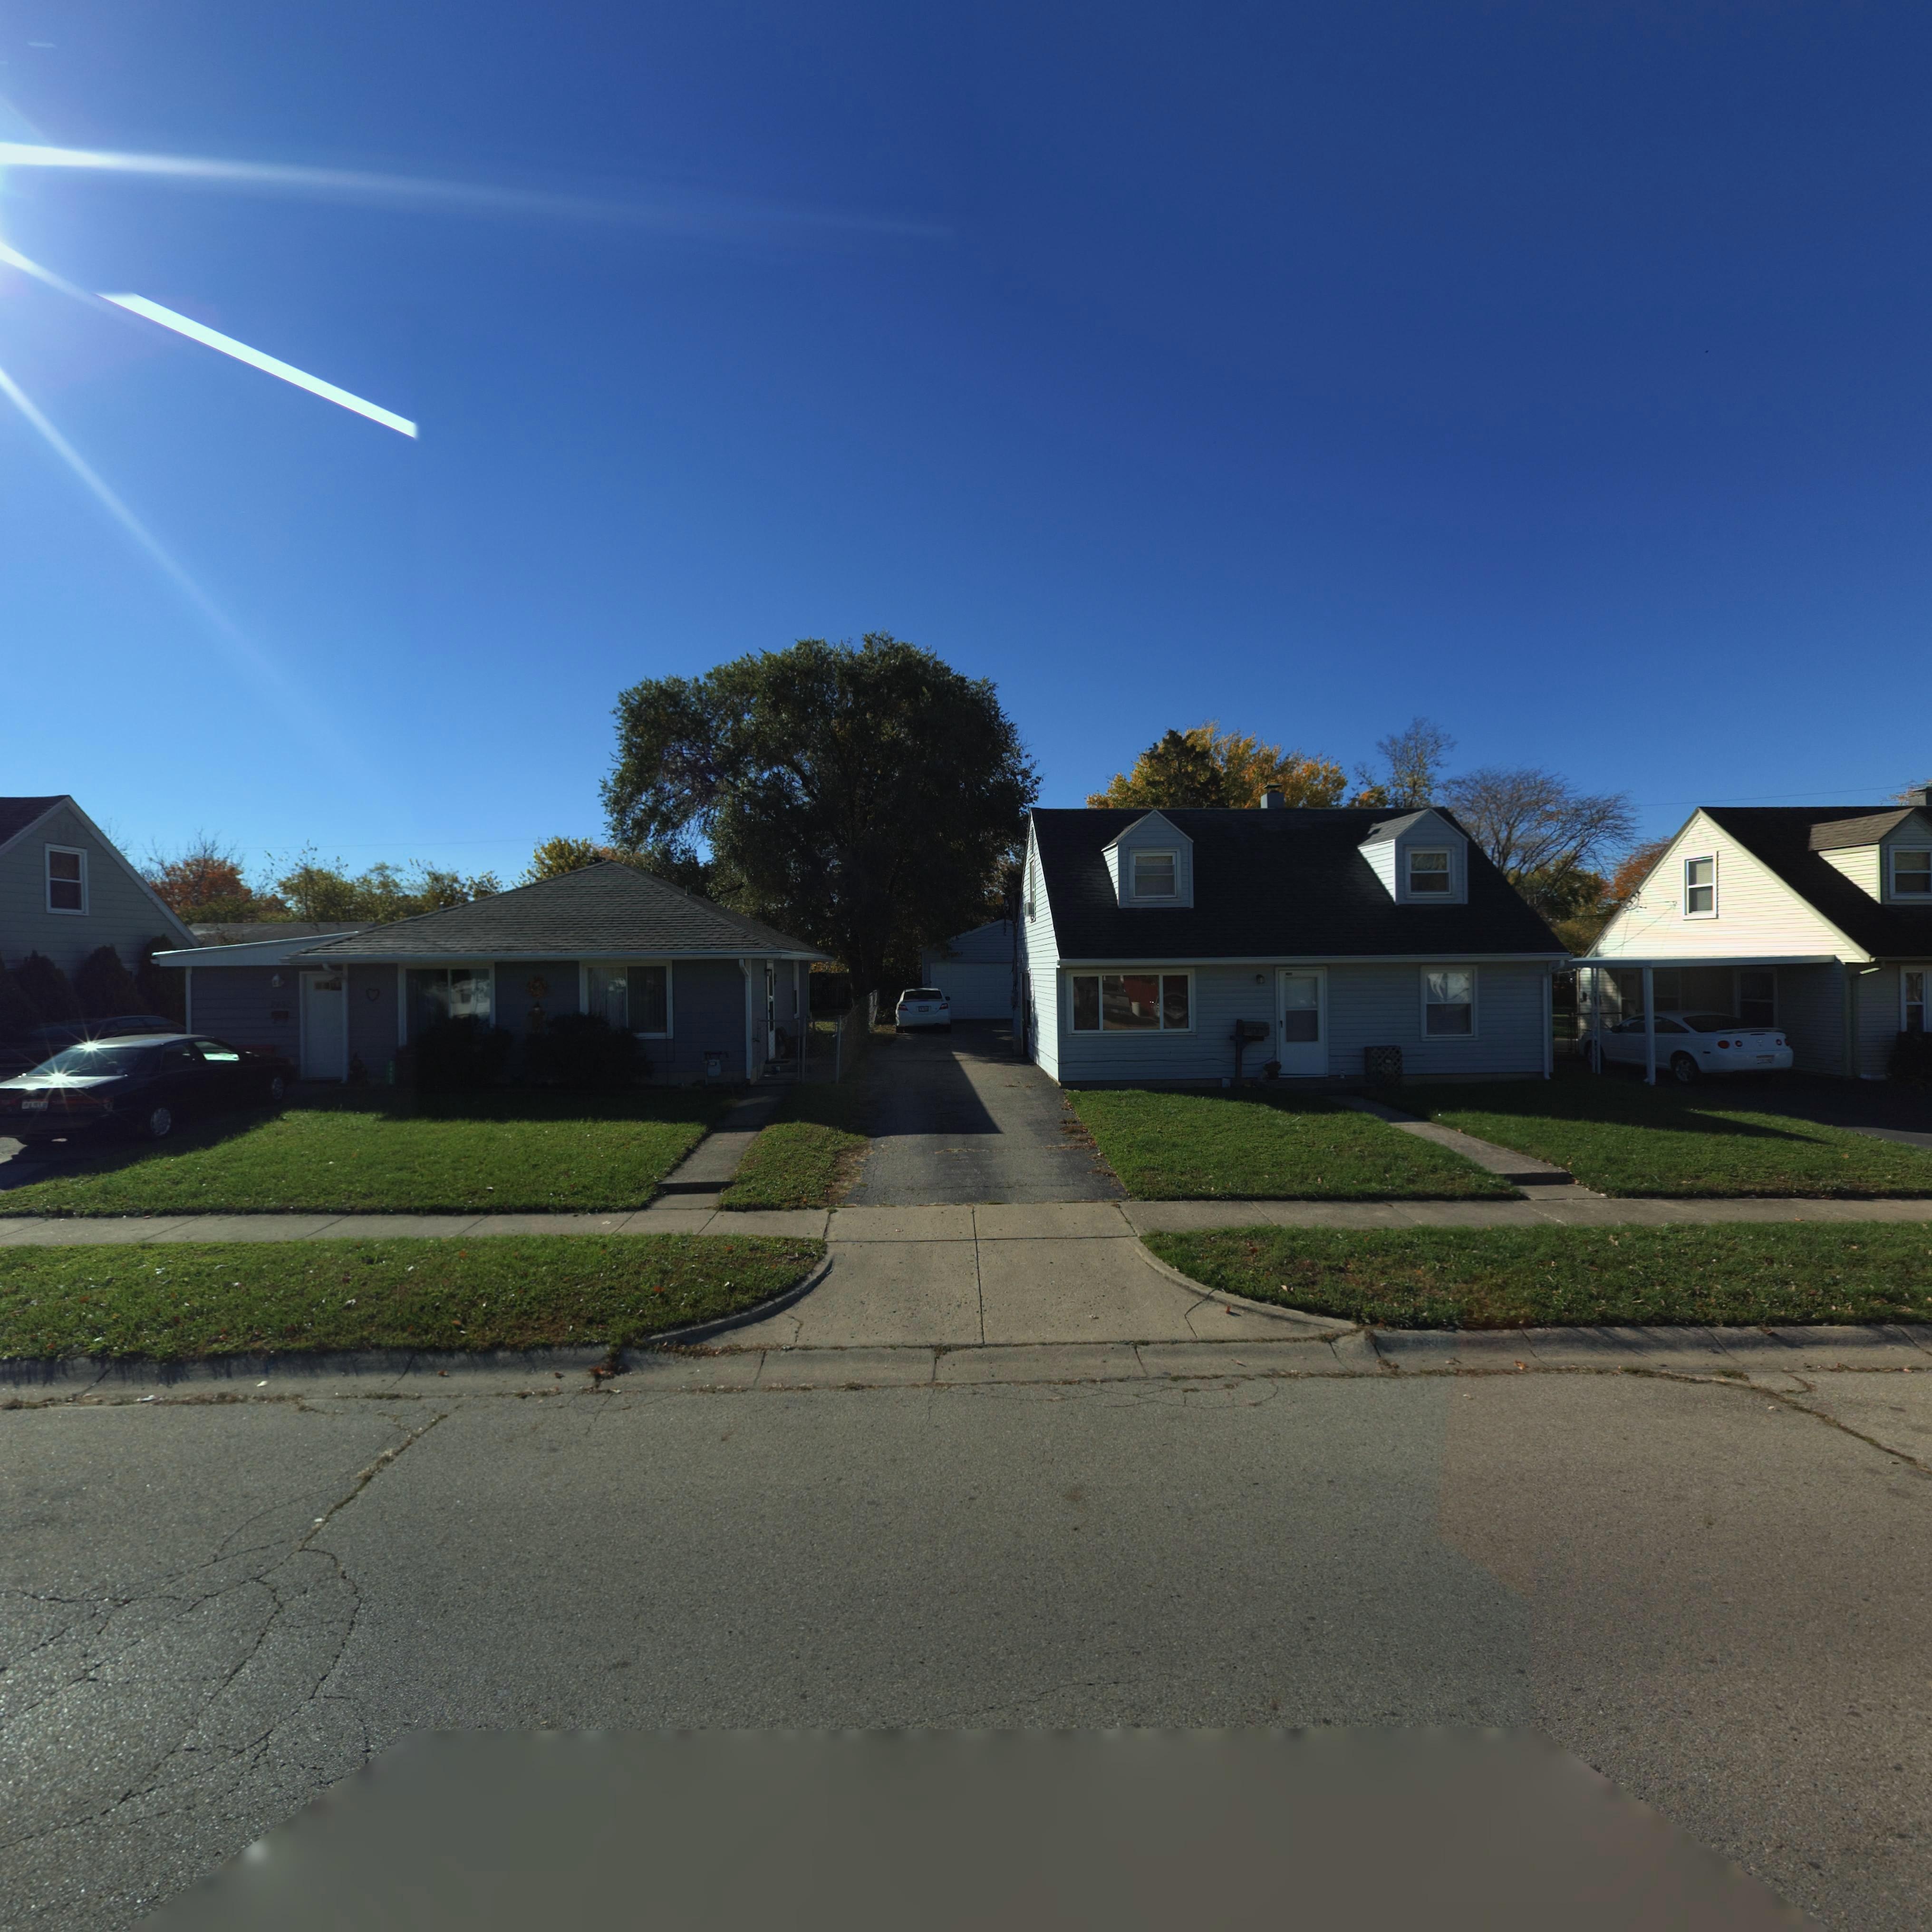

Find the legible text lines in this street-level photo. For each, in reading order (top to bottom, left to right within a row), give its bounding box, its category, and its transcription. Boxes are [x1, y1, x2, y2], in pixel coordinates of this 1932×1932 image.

[269, 999, 293, 1009] StreetNumber: 2*52
[388, 1060, 394, 1085] StreetNumber: *4**